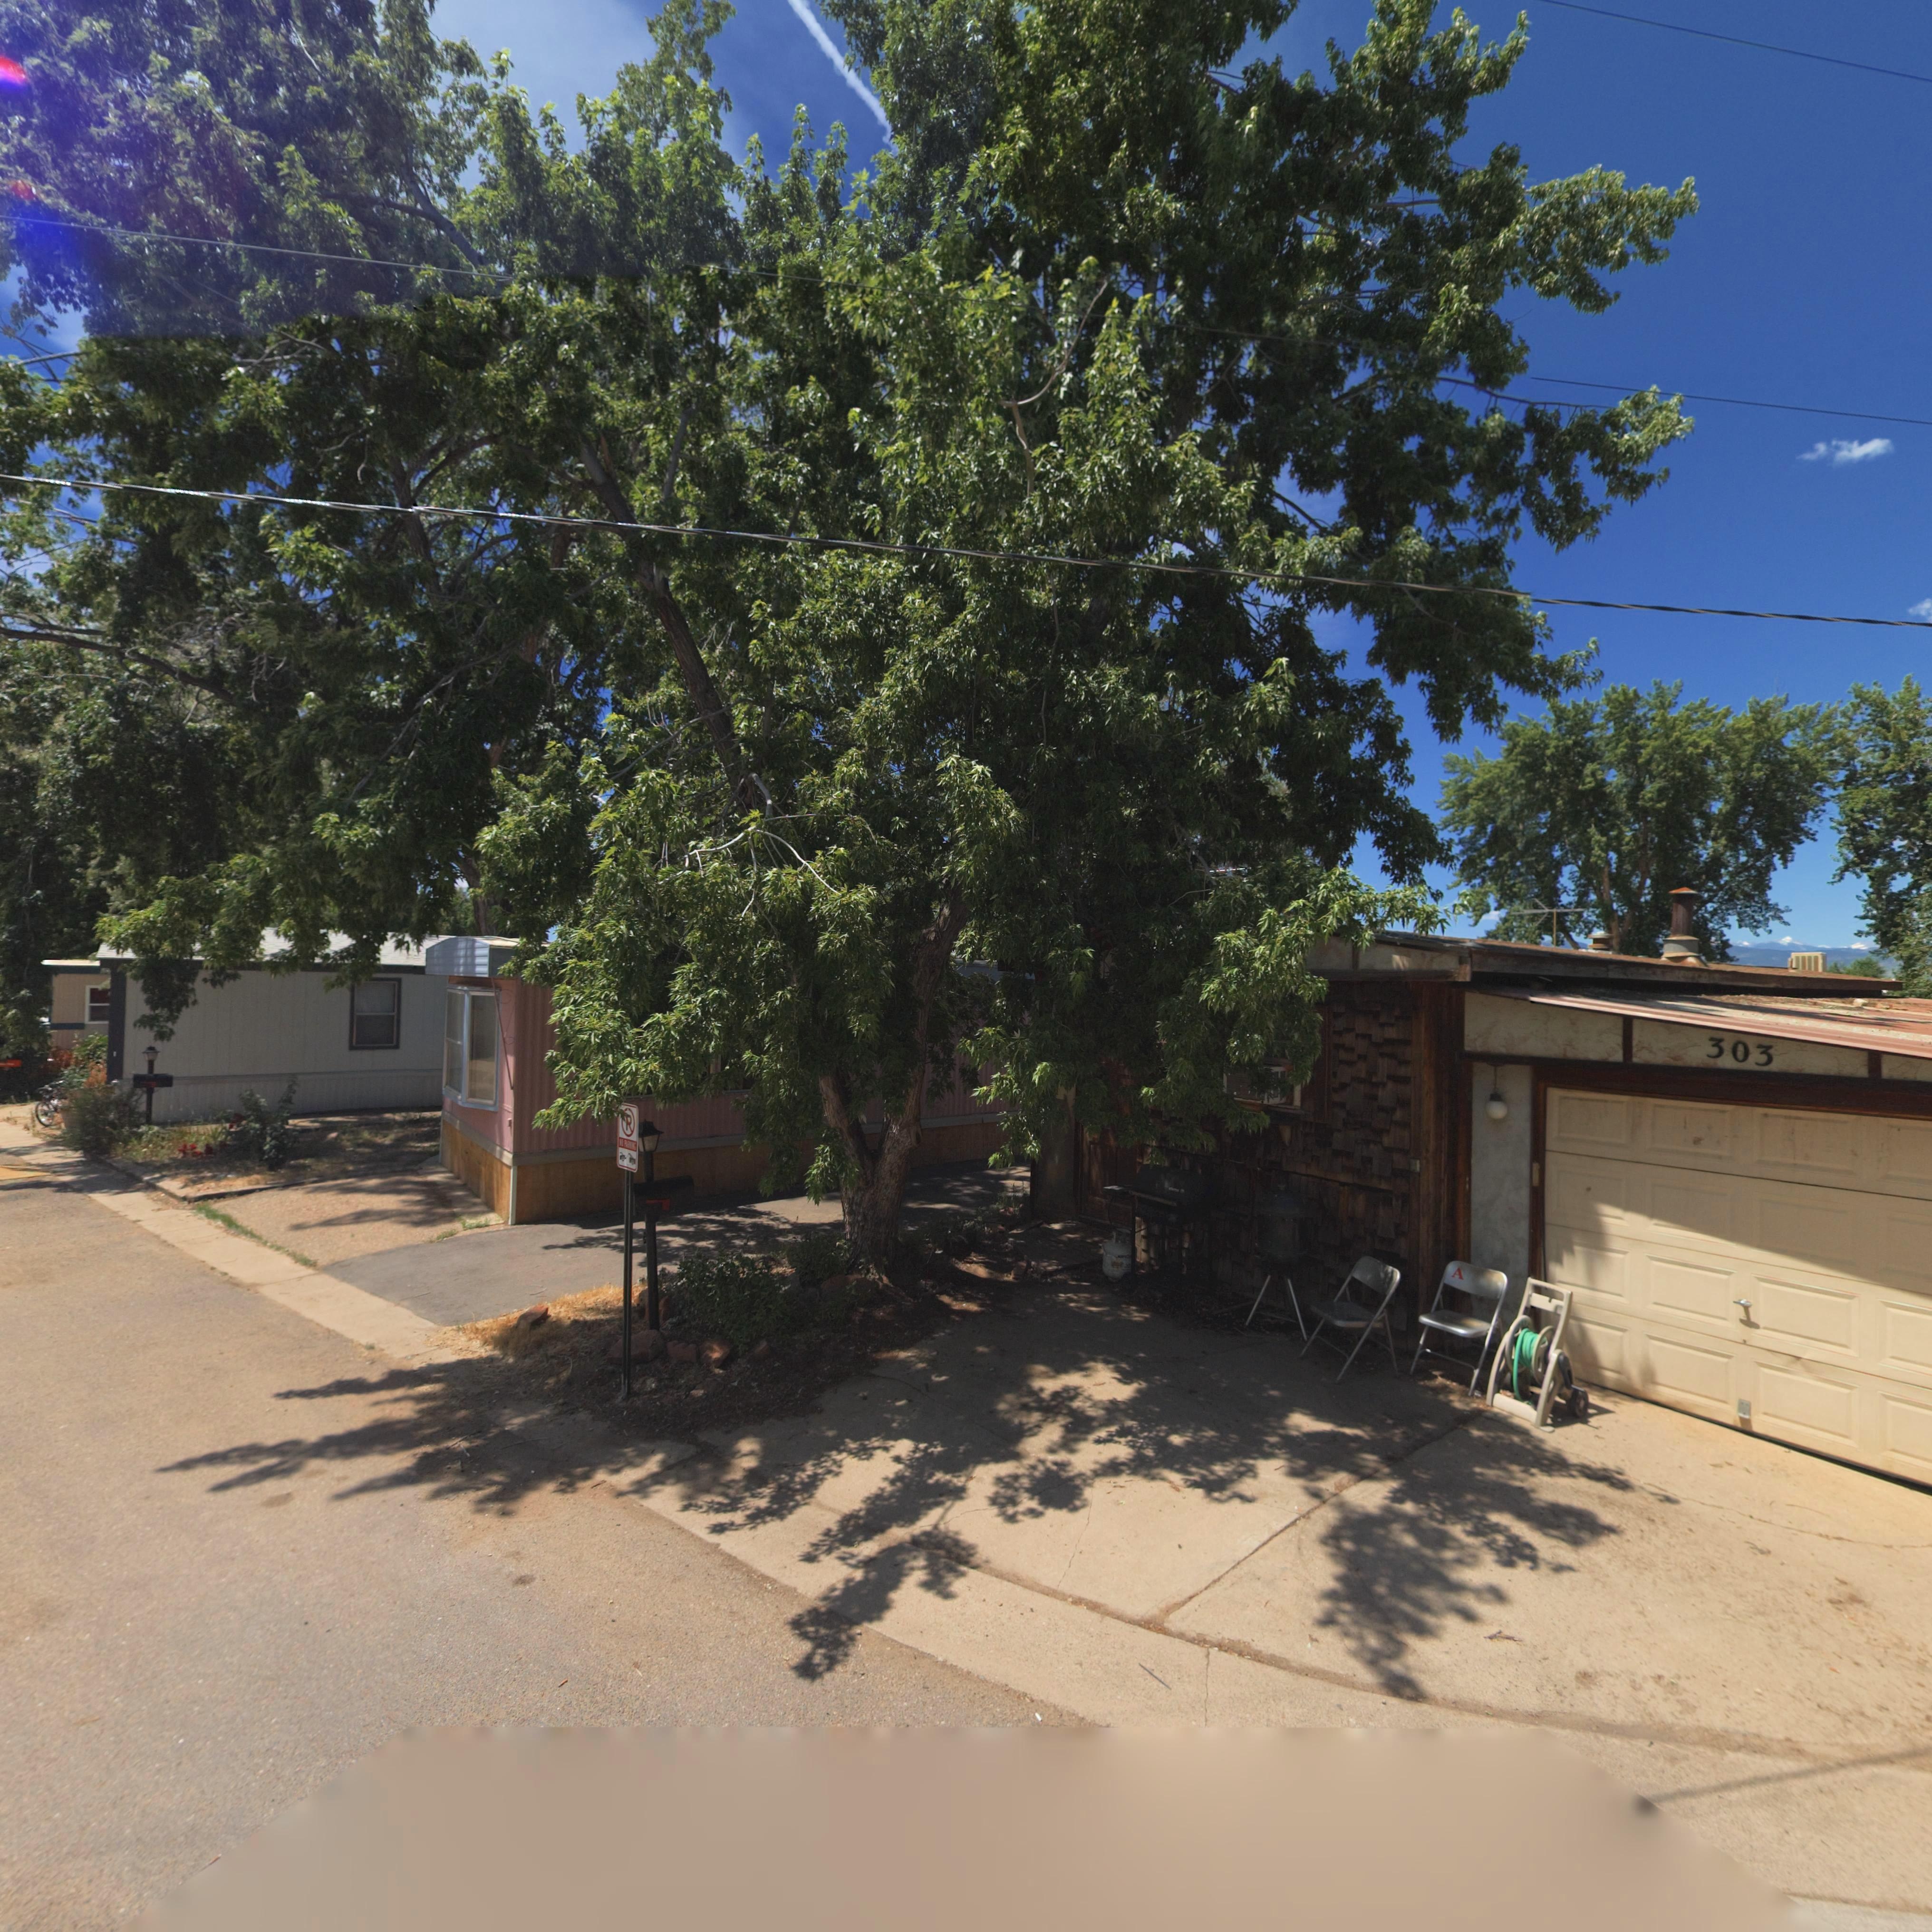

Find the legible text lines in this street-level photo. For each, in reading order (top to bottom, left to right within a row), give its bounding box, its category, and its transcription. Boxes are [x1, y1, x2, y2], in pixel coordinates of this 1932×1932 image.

[1705, 1035, 1774, 1067] StreetNumber: 303